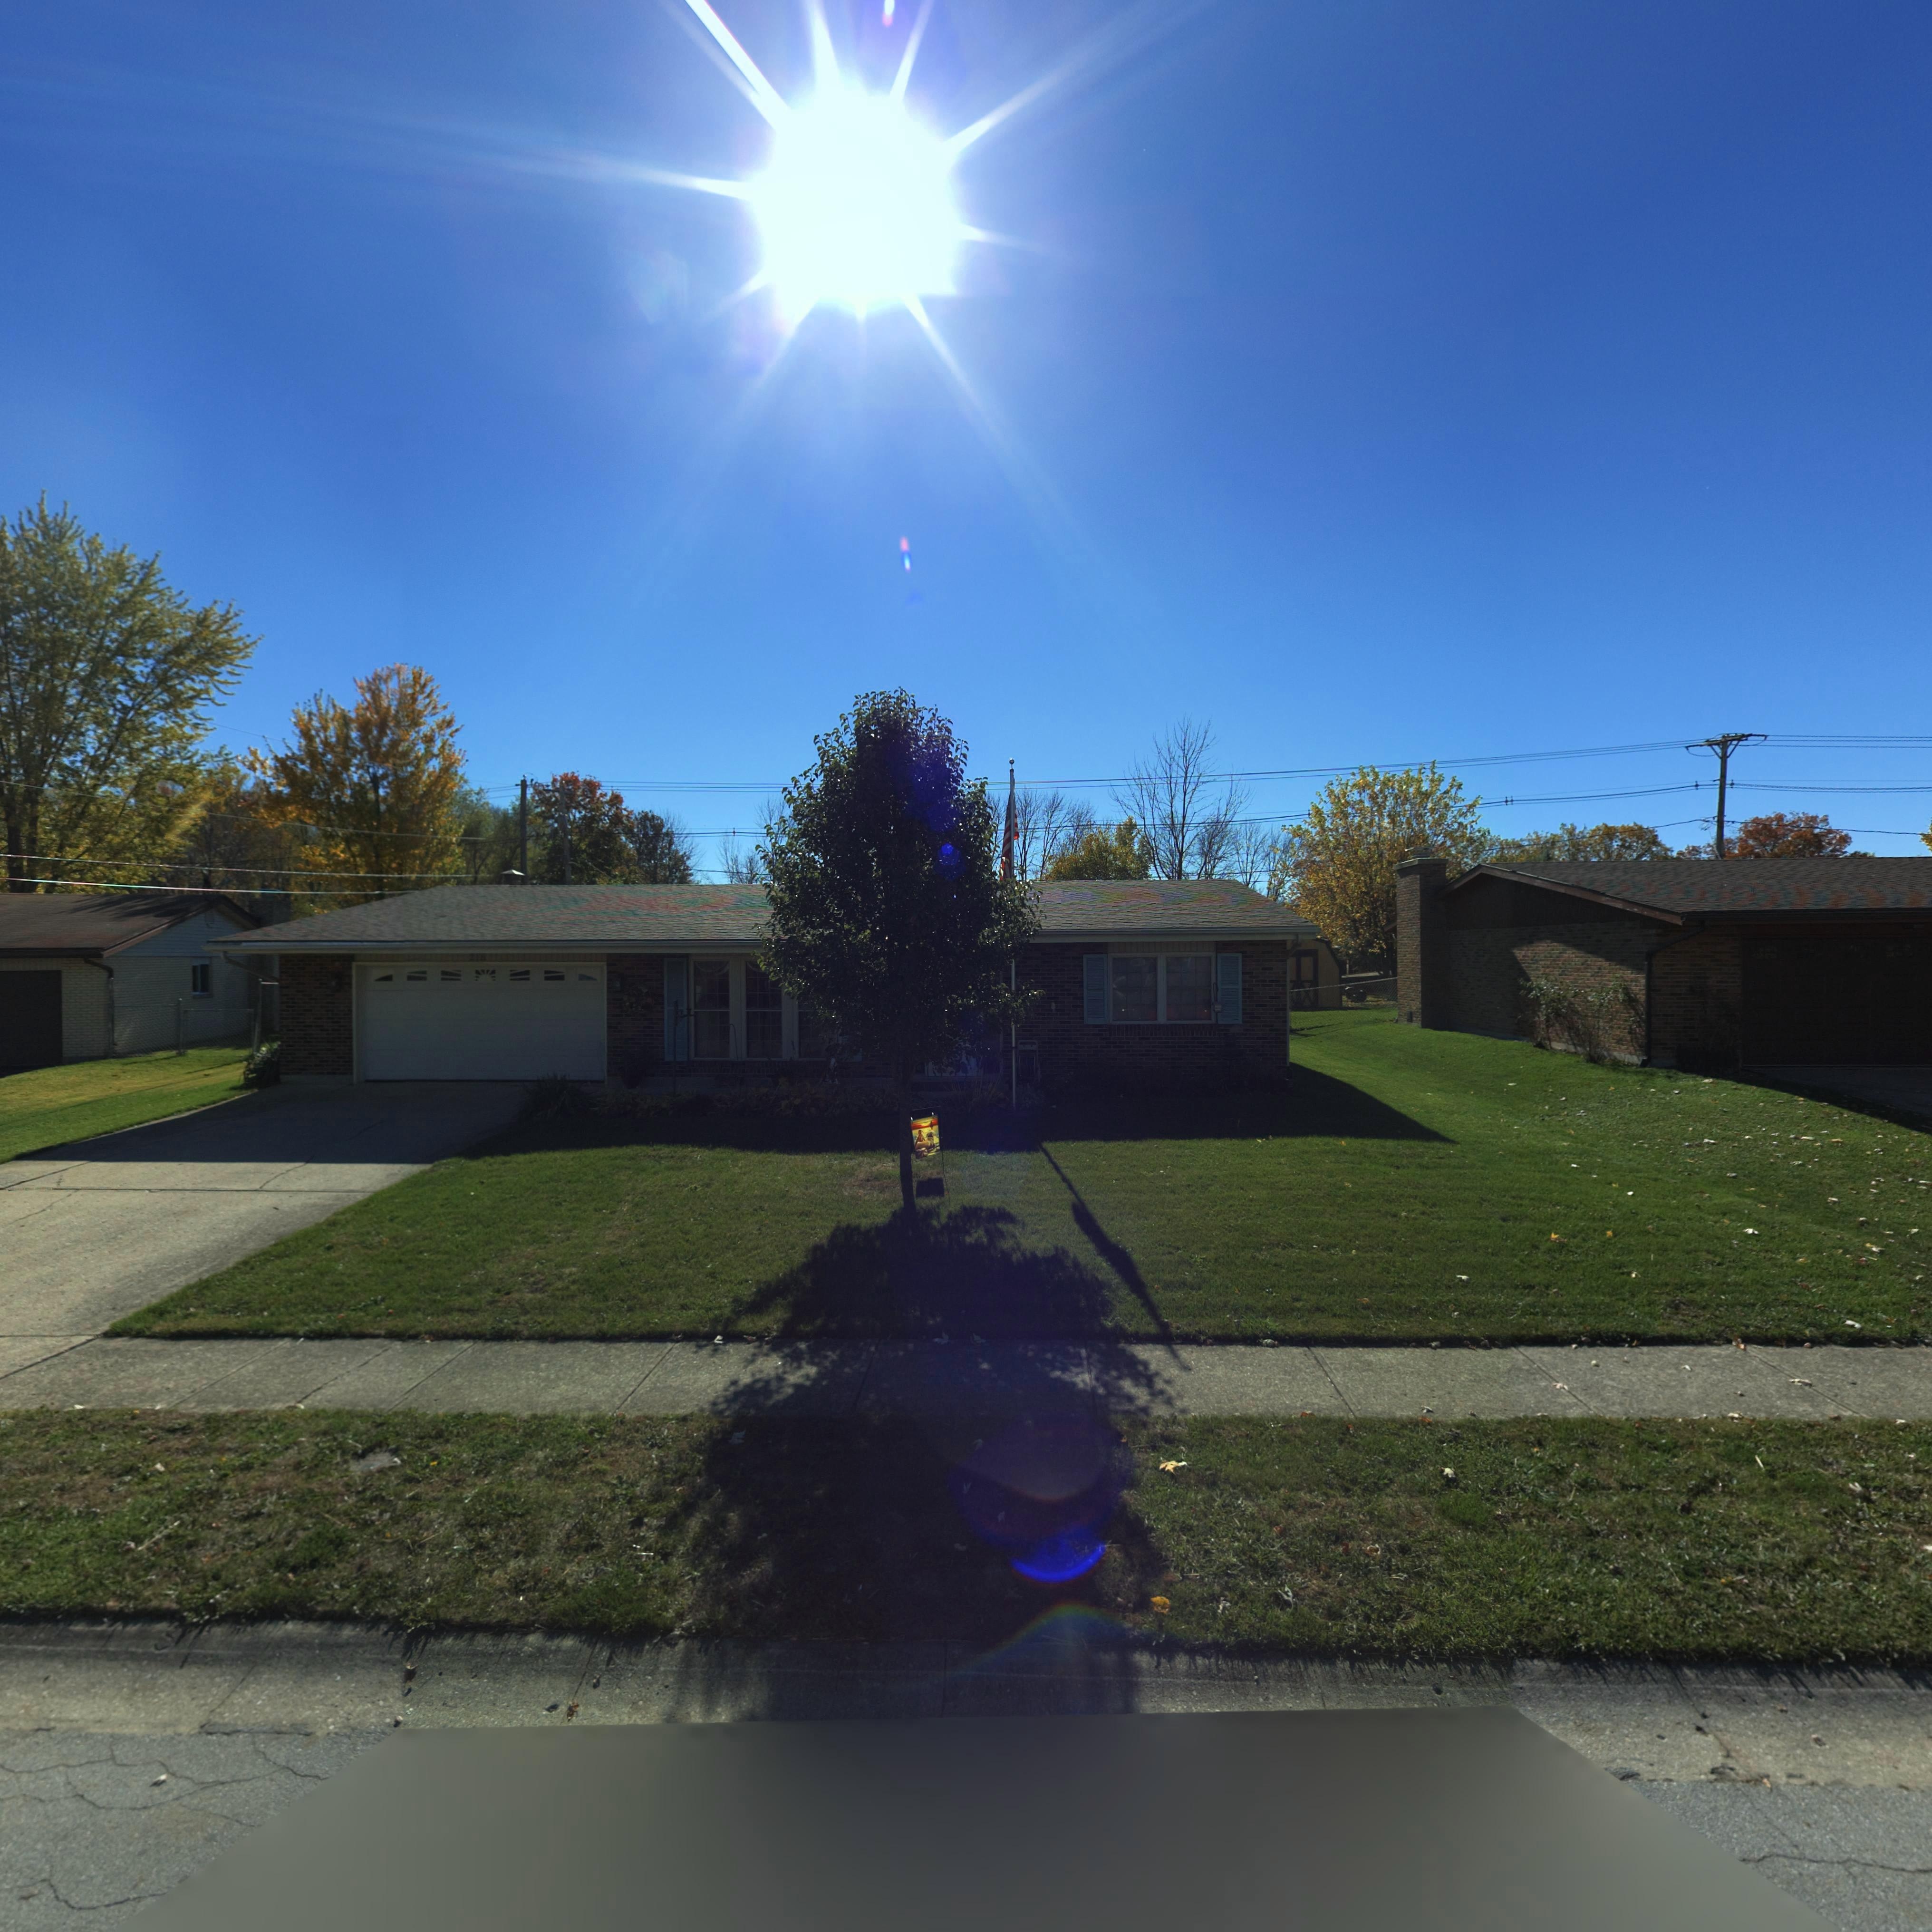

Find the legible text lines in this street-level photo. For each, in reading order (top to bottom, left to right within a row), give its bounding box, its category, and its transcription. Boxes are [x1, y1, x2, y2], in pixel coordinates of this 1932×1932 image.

[468, 953, 487, 962] StreetNumber: 218